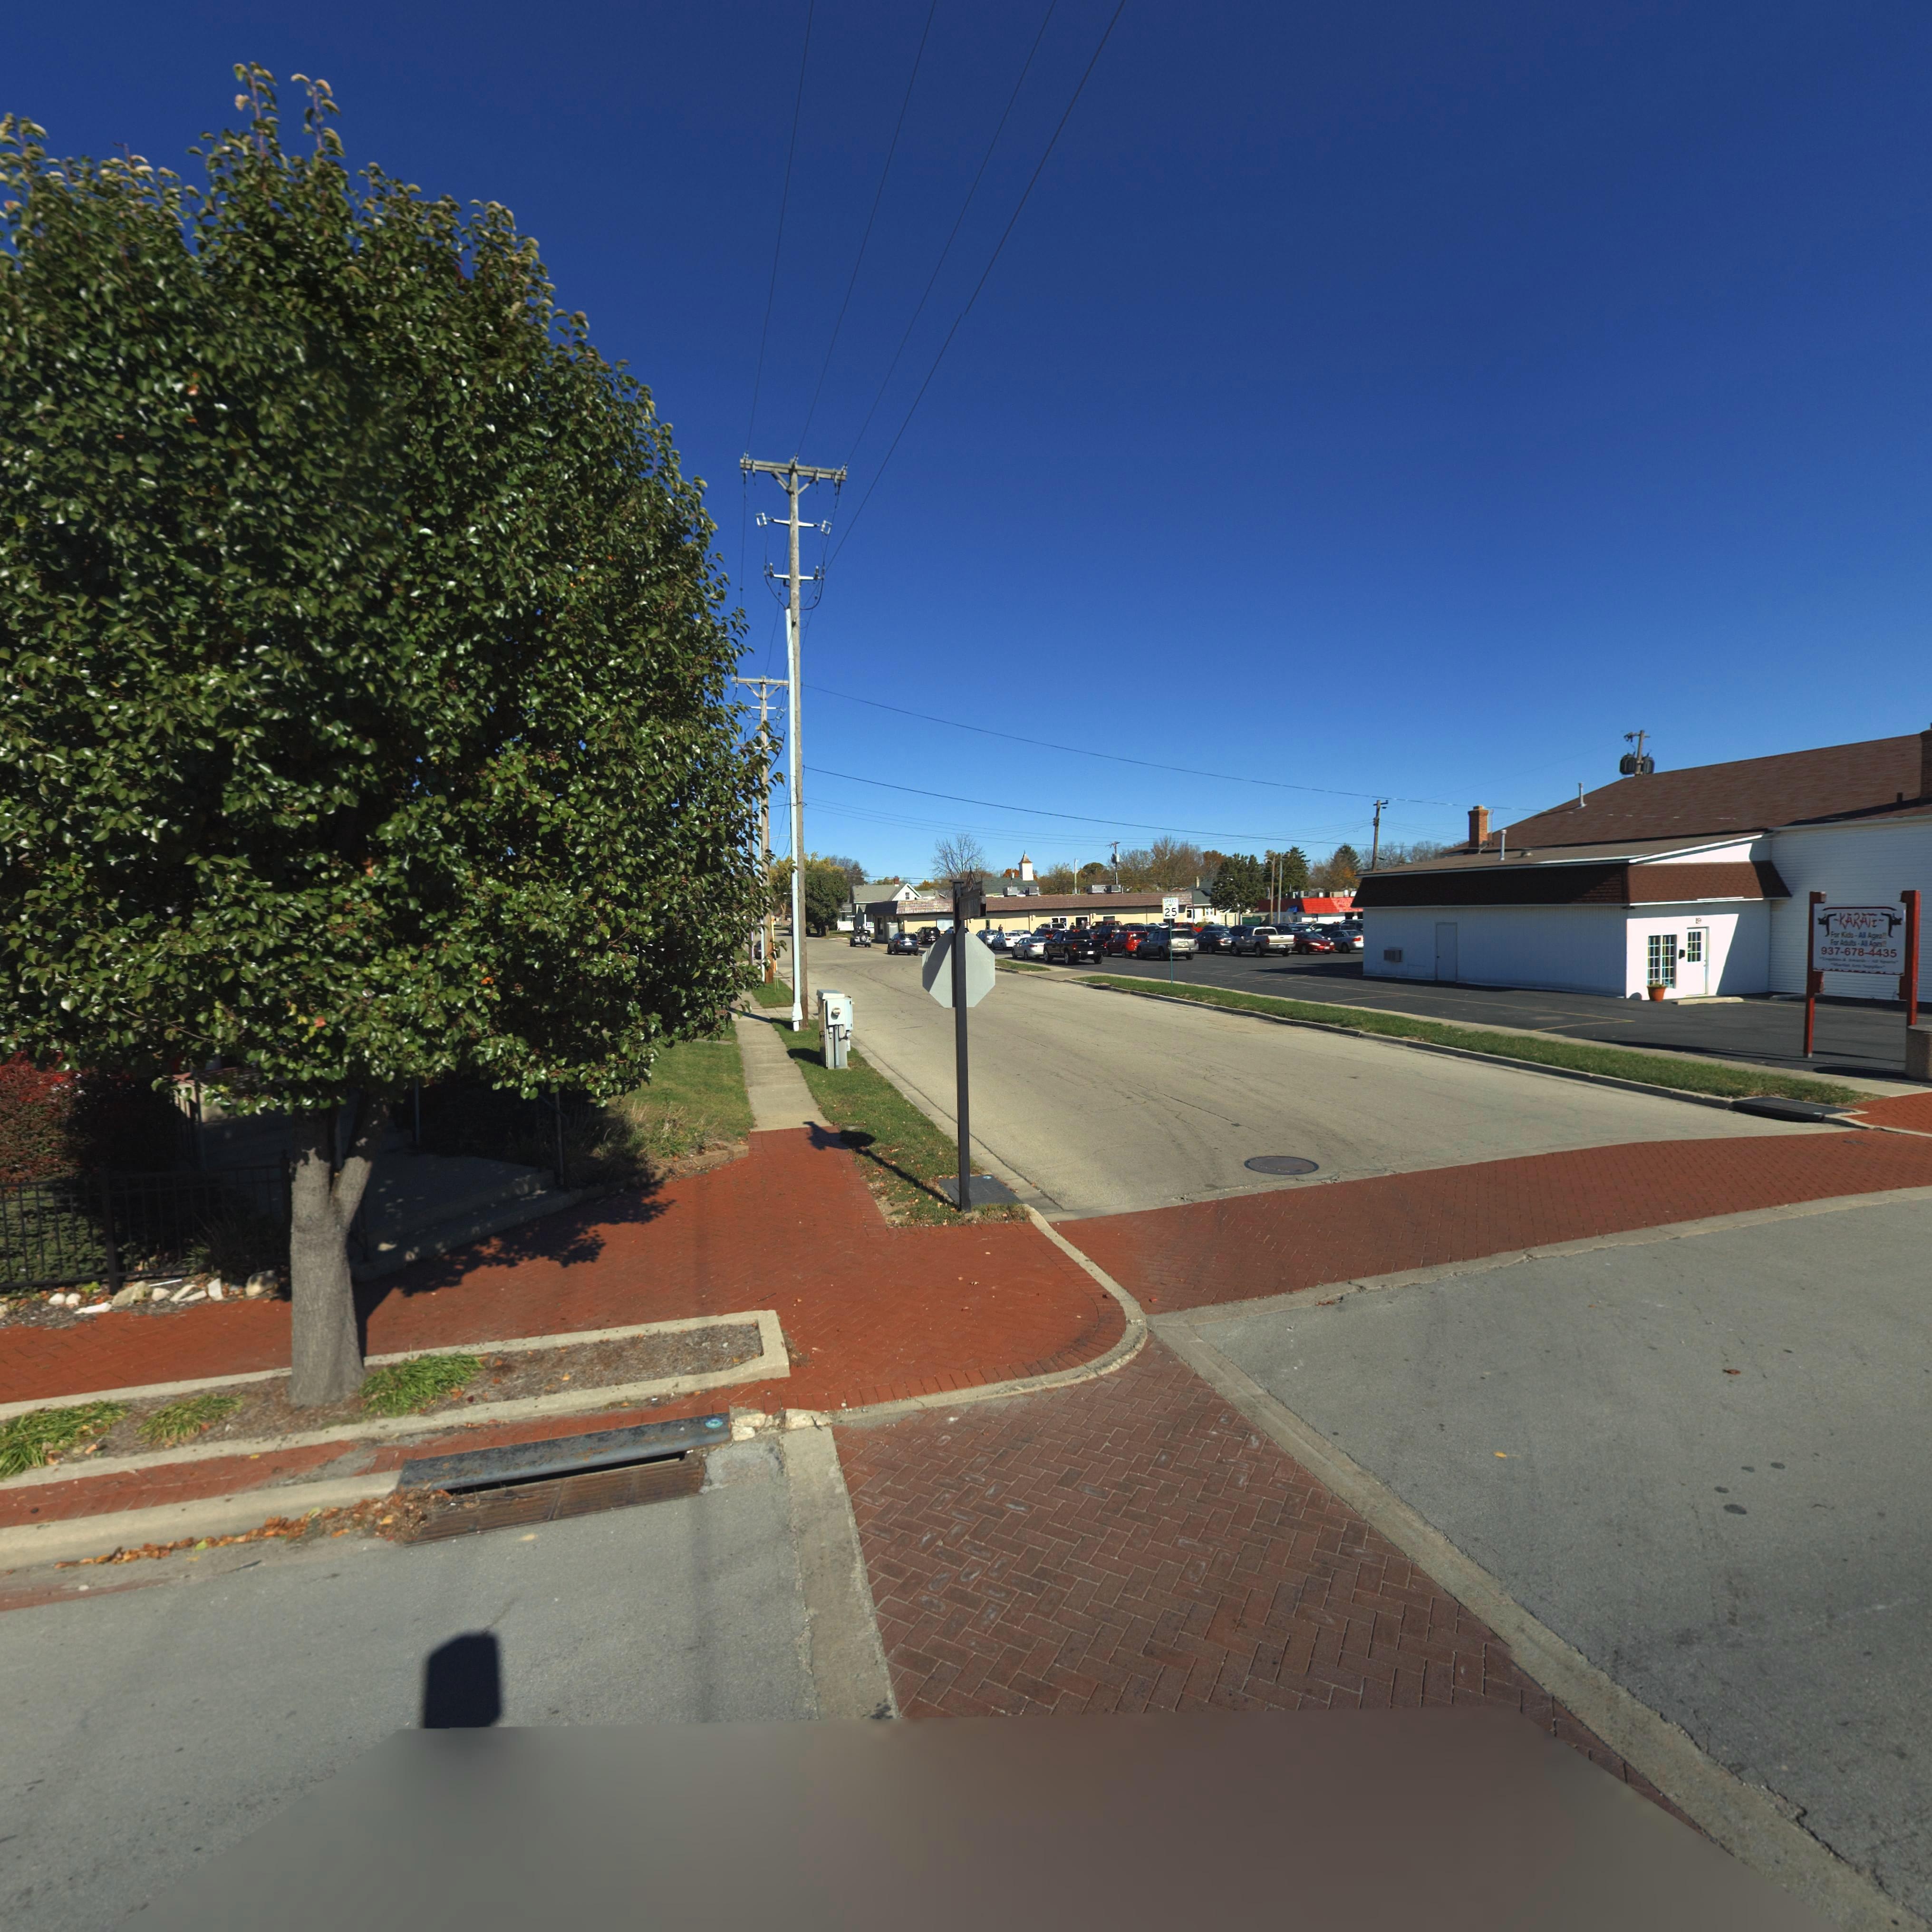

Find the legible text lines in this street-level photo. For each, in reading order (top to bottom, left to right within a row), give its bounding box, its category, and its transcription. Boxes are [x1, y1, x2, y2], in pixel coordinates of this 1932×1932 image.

[1695, 918, 1702, 924] StreetNumber: 19
[1838, 911, 1880, 930] BusinessName: KARATE